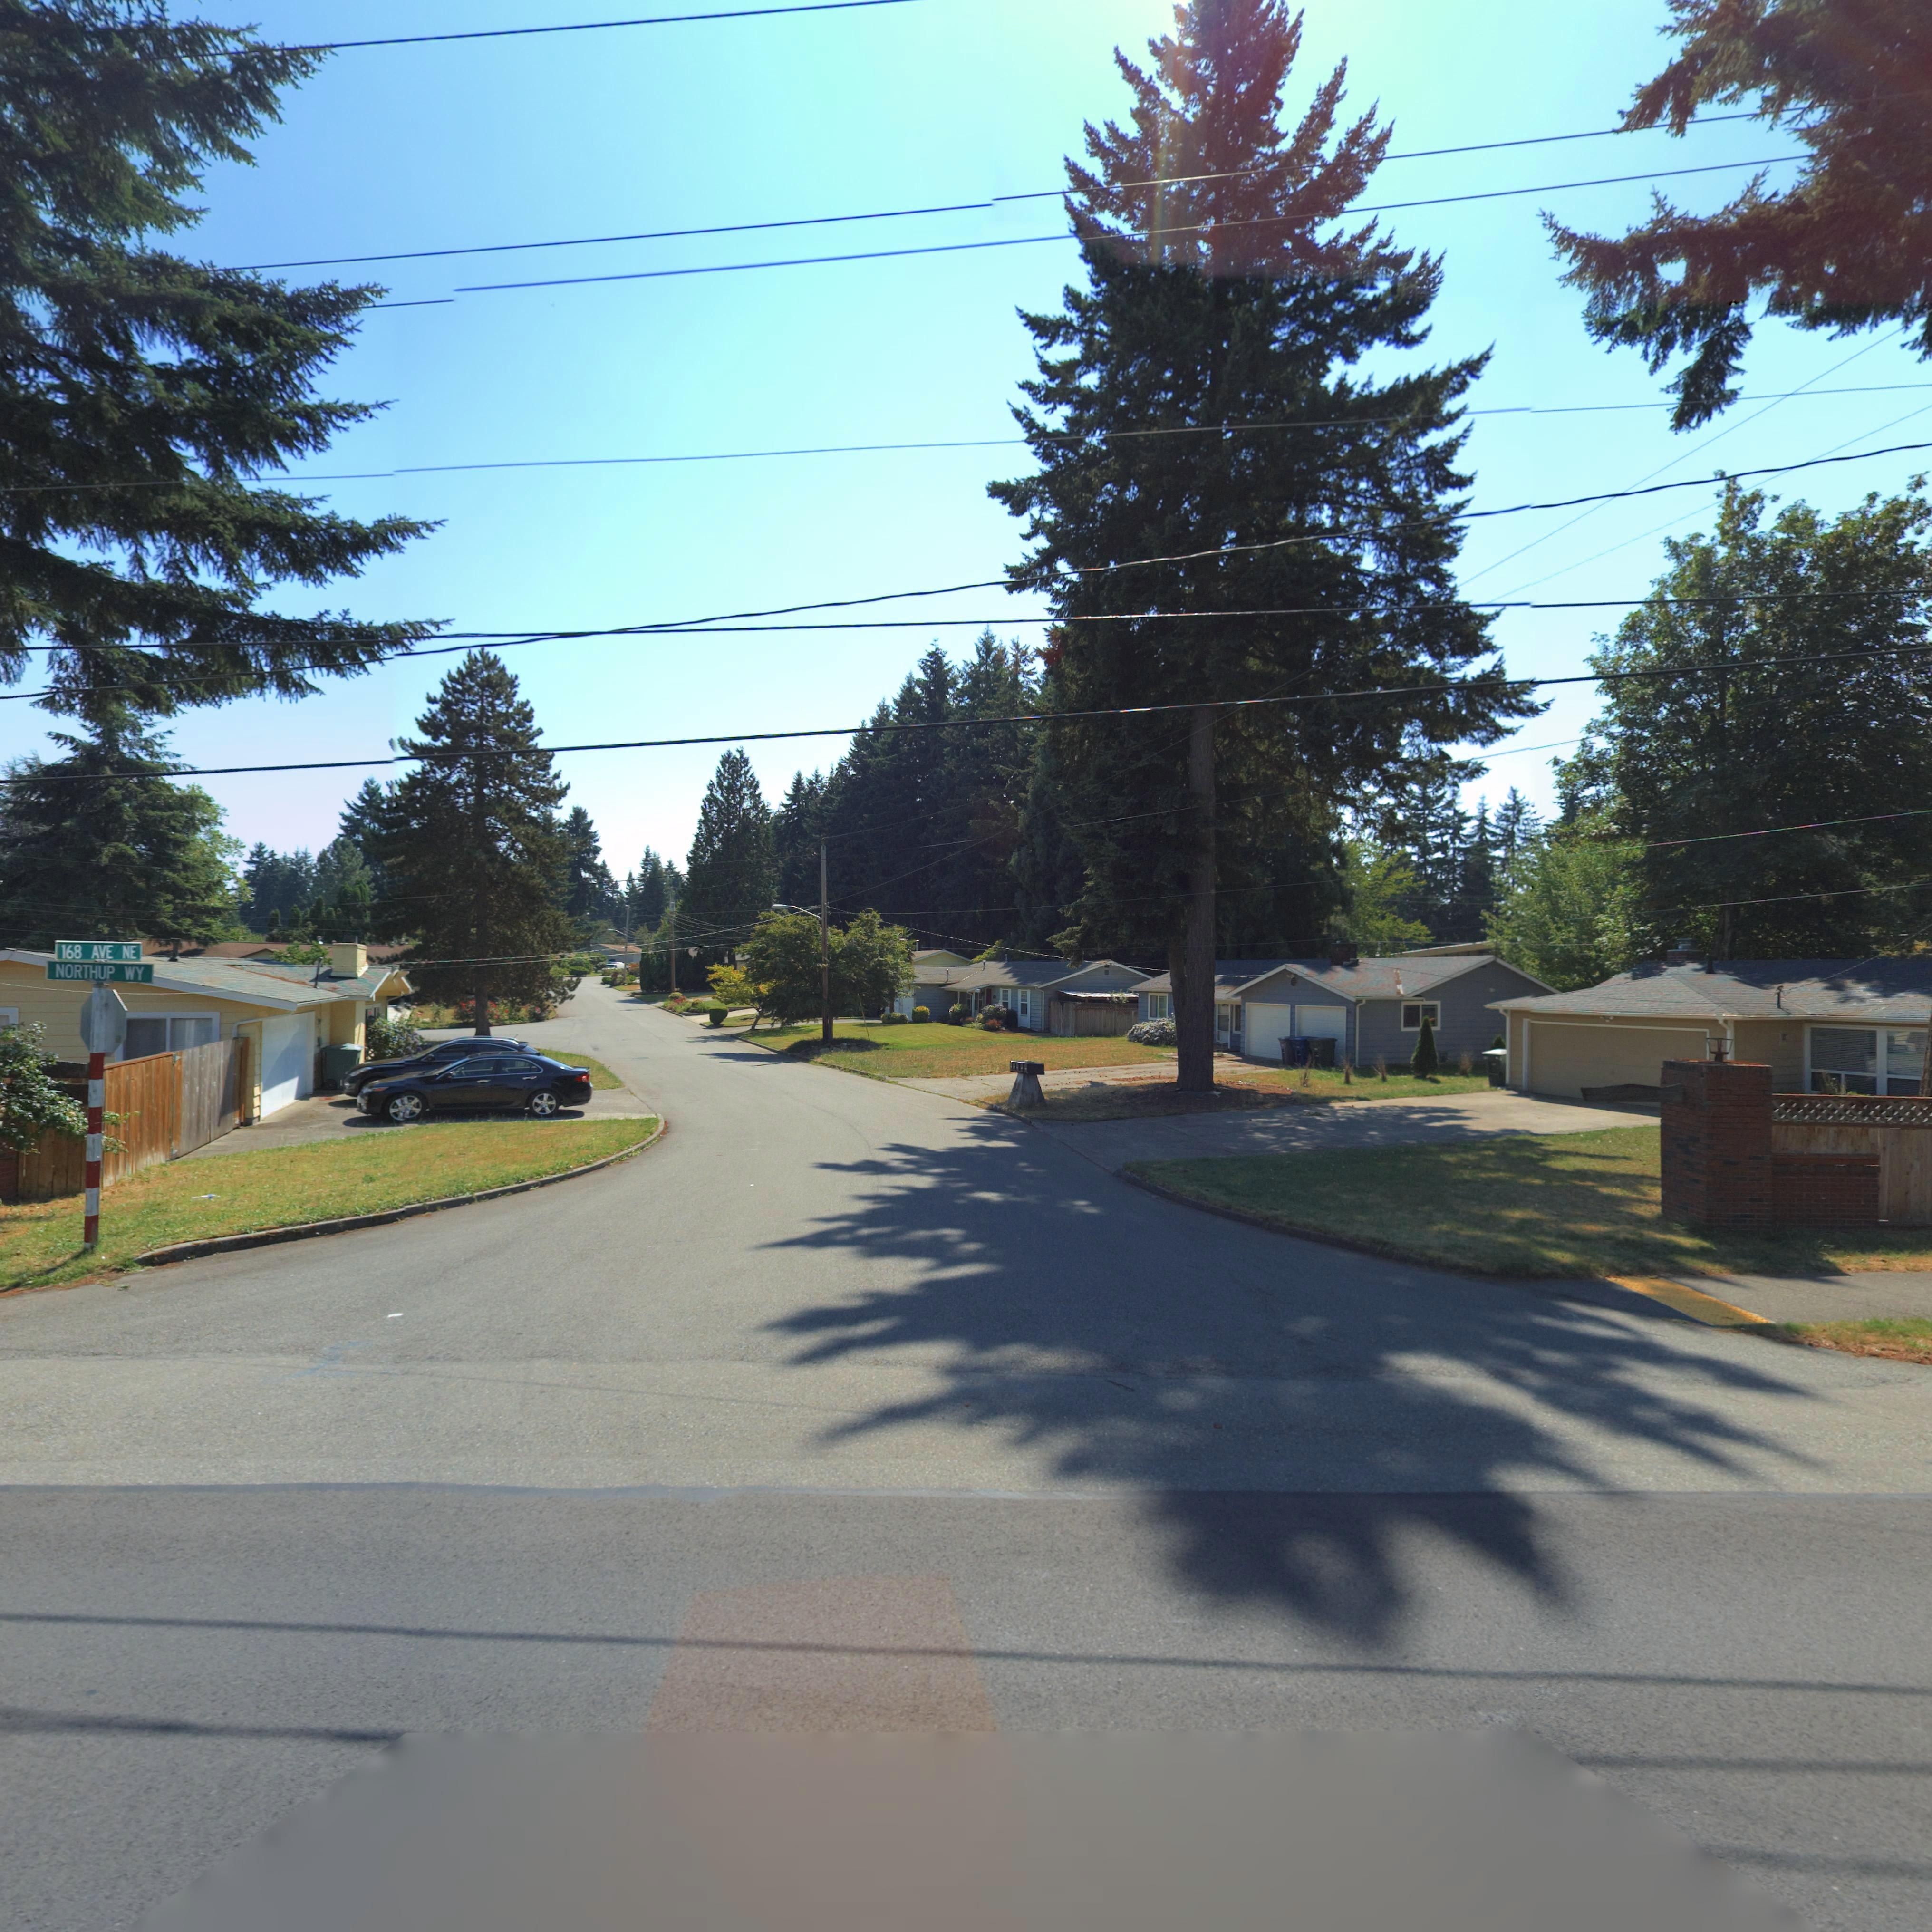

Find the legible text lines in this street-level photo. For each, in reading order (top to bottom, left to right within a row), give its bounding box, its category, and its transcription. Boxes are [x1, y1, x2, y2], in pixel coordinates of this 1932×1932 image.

[61, 944, 137, 959] StreetName: 168 AVE NE
[55, 963, 145, 981] StreetName: NORTHUP WY